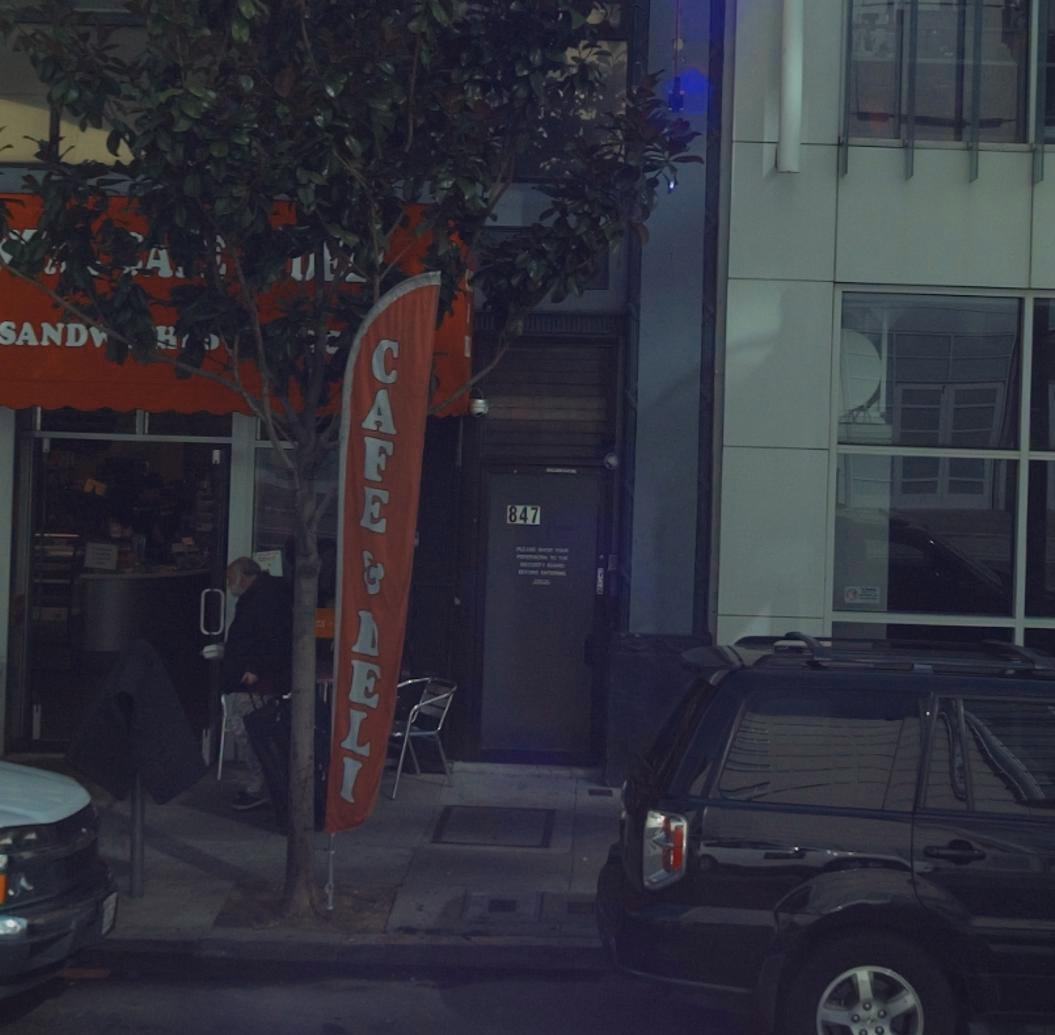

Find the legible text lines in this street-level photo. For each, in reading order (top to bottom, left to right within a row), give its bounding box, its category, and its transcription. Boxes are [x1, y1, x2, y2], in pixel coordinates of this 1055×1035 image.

[0, 316, 91, 352] None: SAND
[154, 321, 181, 353] None: H
[505, 501, 542, 527] StreetNumber: 847
[332, 326, 407, 823] None: CAFE & *ELL